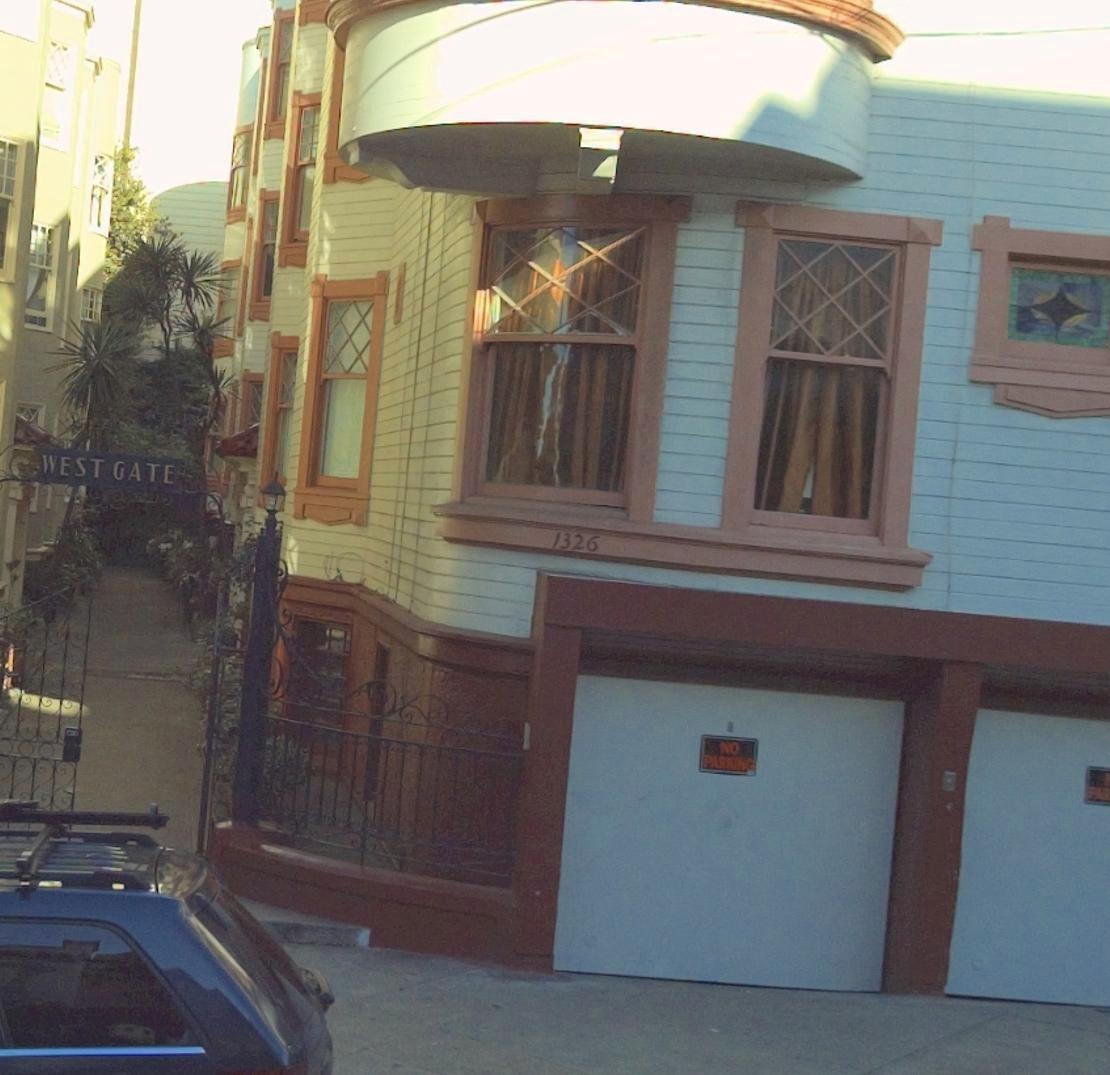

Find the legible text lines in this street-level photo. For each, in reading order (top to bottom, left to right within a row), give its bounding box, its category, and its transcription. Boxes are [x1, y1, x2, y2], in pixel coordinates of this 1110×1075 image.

[42, 453, 175, 486] None: WEST GATE
[550, 529, 601, 555] StreetNumber: 1326
[718, 739, 740, 757] None: NO
[703, 753, 754, 773] None: PARKING
[1087, 786, 1110, 802] None: PAR